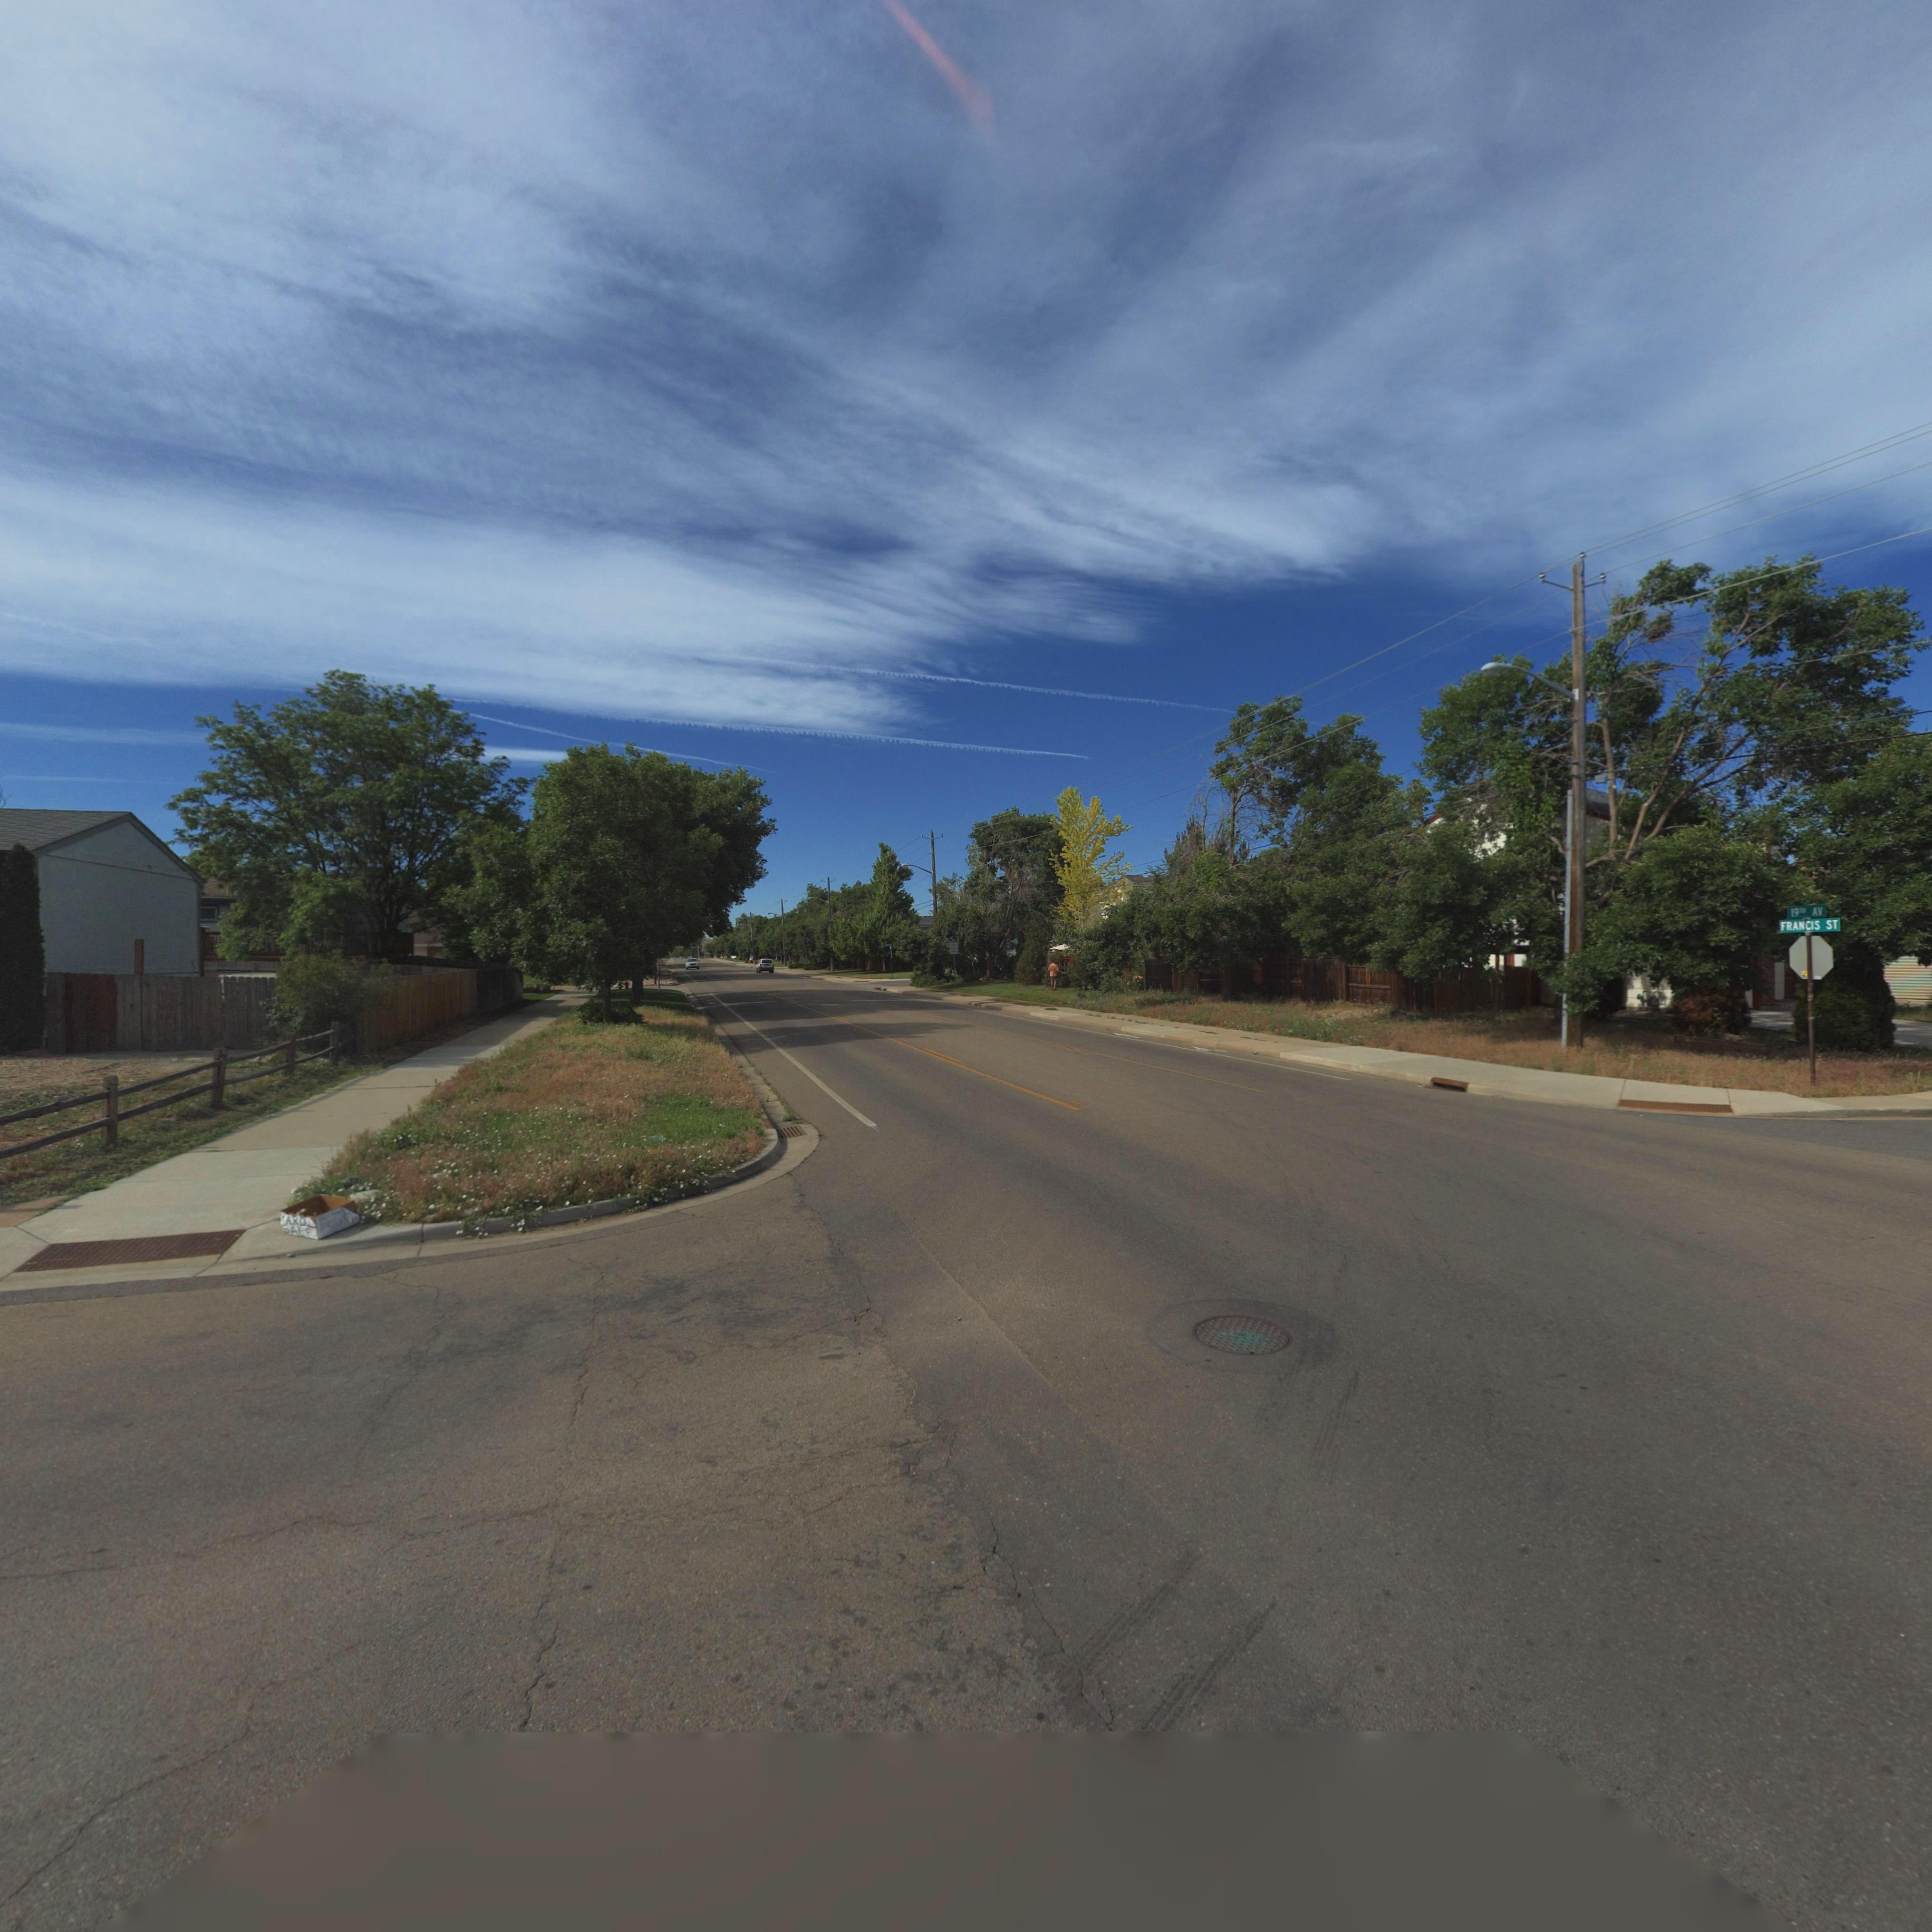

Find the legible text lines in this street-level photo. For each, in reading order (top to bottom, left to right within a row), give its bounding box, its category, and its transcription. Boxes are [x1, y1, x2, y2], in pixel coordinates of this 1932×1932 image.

[1790, 906, 1823, 918] StreetName: 19TH AV
[1780, 919, 1838, 931] StreetName: FRANCIS ST